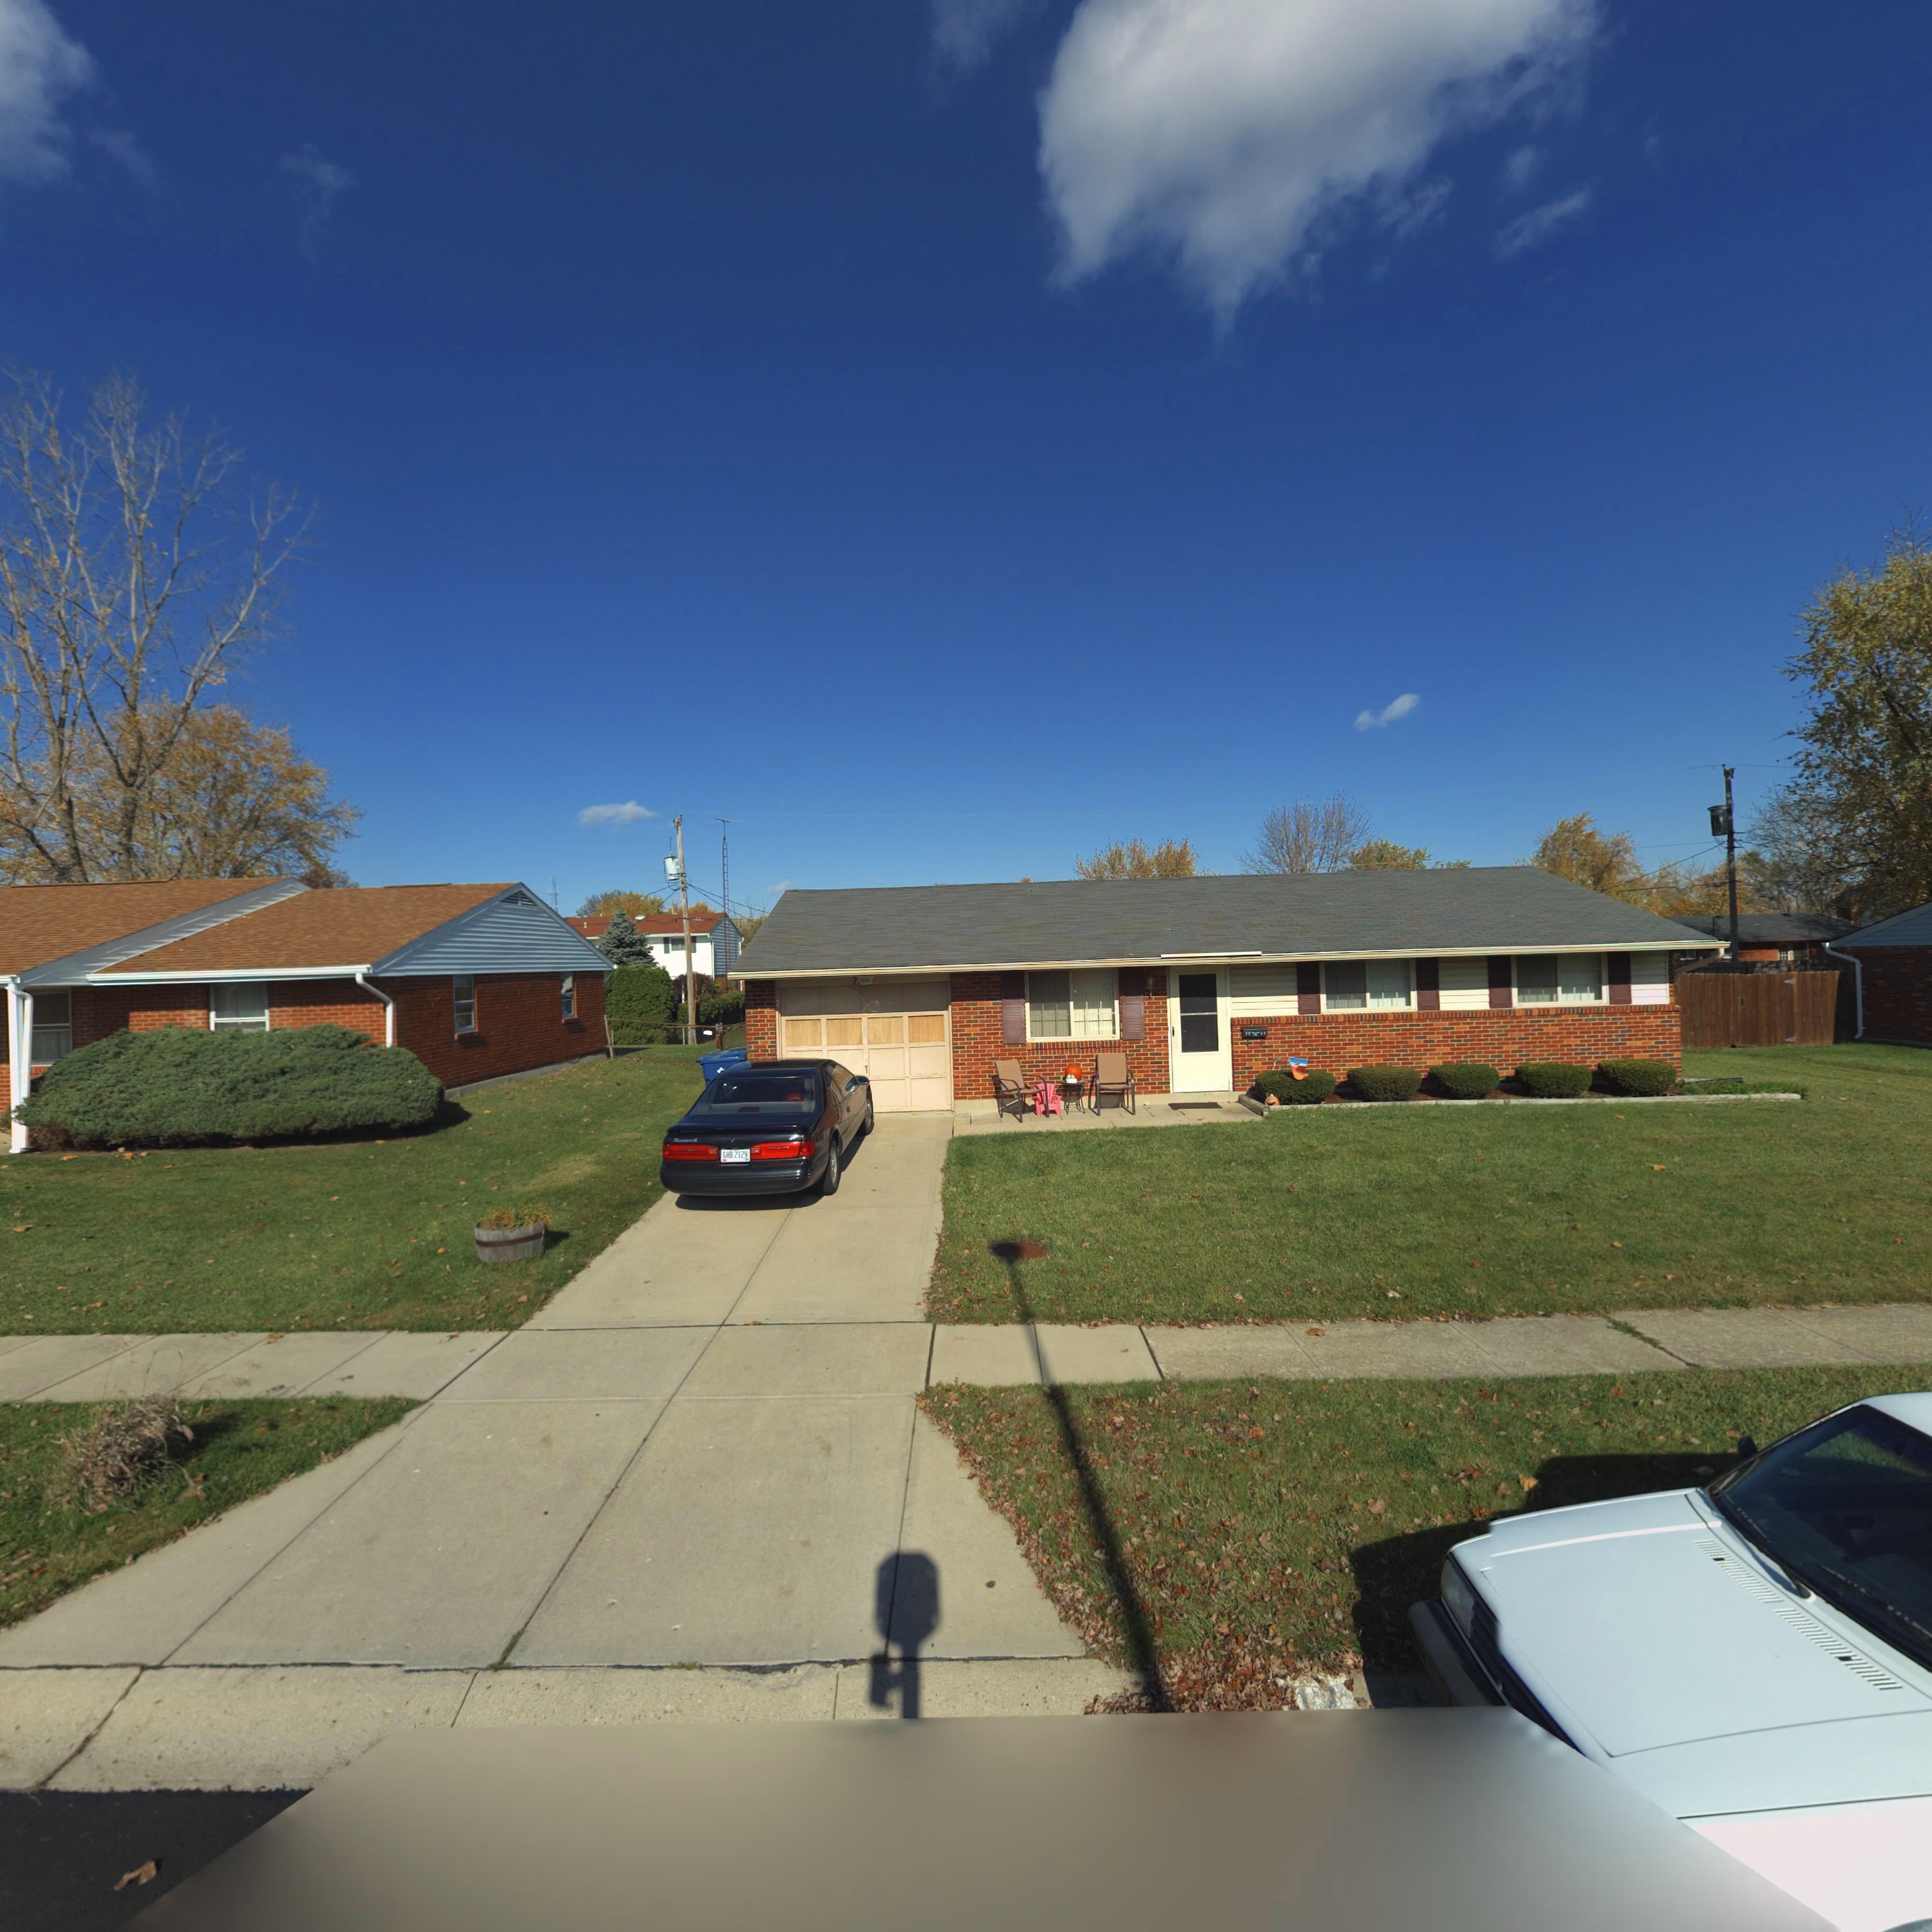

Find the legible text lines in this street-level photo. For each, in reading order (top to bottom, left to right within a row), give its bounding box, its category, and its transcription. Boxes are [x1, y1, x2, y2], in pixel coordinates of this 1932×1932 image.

[851, 976, 859, 985] StreetNumber: 7